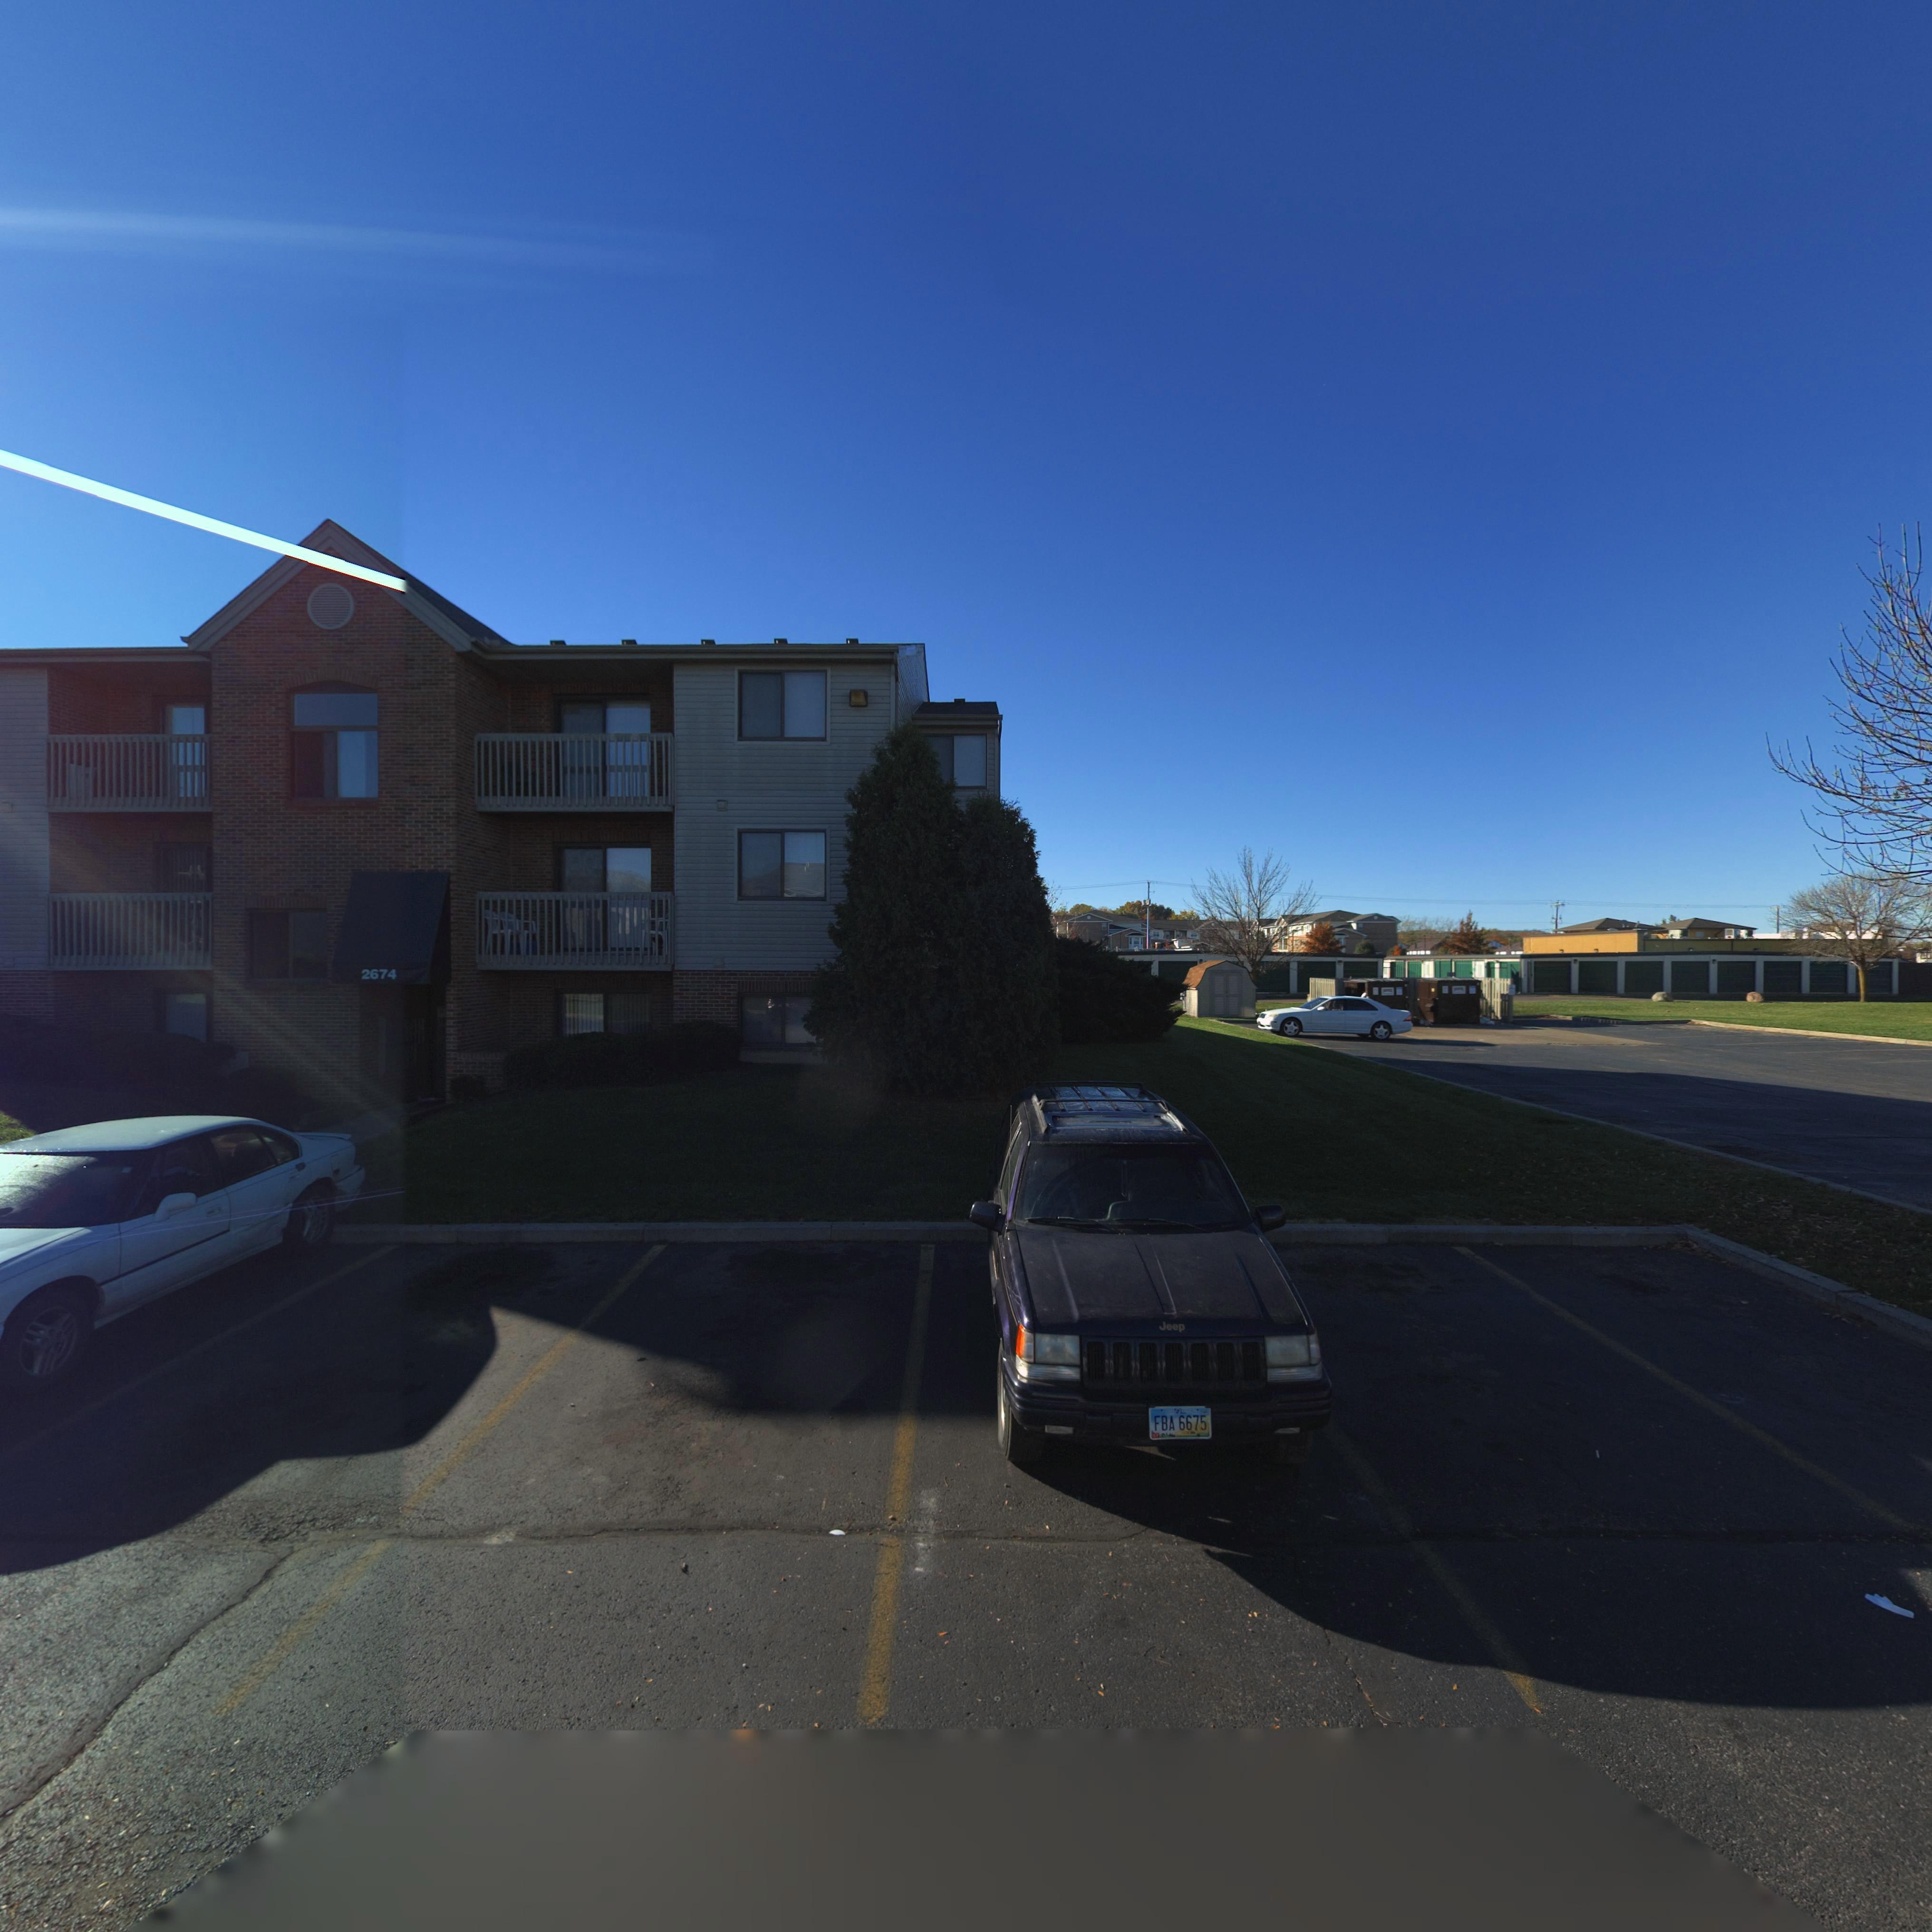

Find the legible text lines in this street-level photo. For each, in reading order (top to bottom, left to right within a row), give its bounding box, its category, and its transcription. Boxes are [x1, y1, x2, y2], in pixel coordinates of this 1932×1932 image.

[360, 967, 398, 981] StreetNumber: 2674